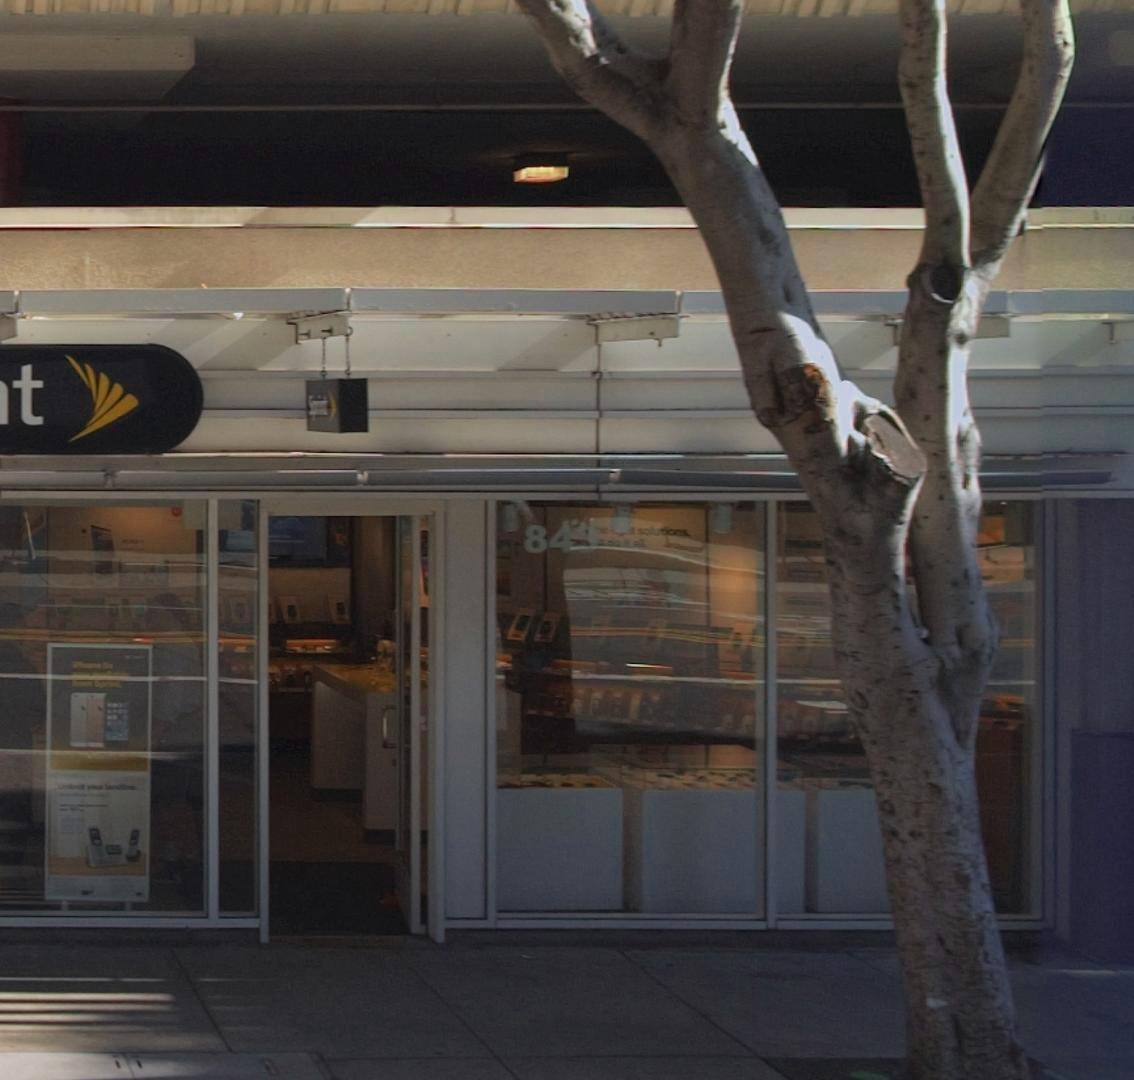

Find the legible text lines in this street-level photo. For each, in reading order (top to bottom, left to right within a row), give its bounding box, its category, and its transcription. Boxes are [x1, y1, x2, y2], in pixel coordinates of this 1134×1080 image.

[10, 363, 45, 428] BusinessName: t
[522, 522, 601, 555] StreetNumber: 843